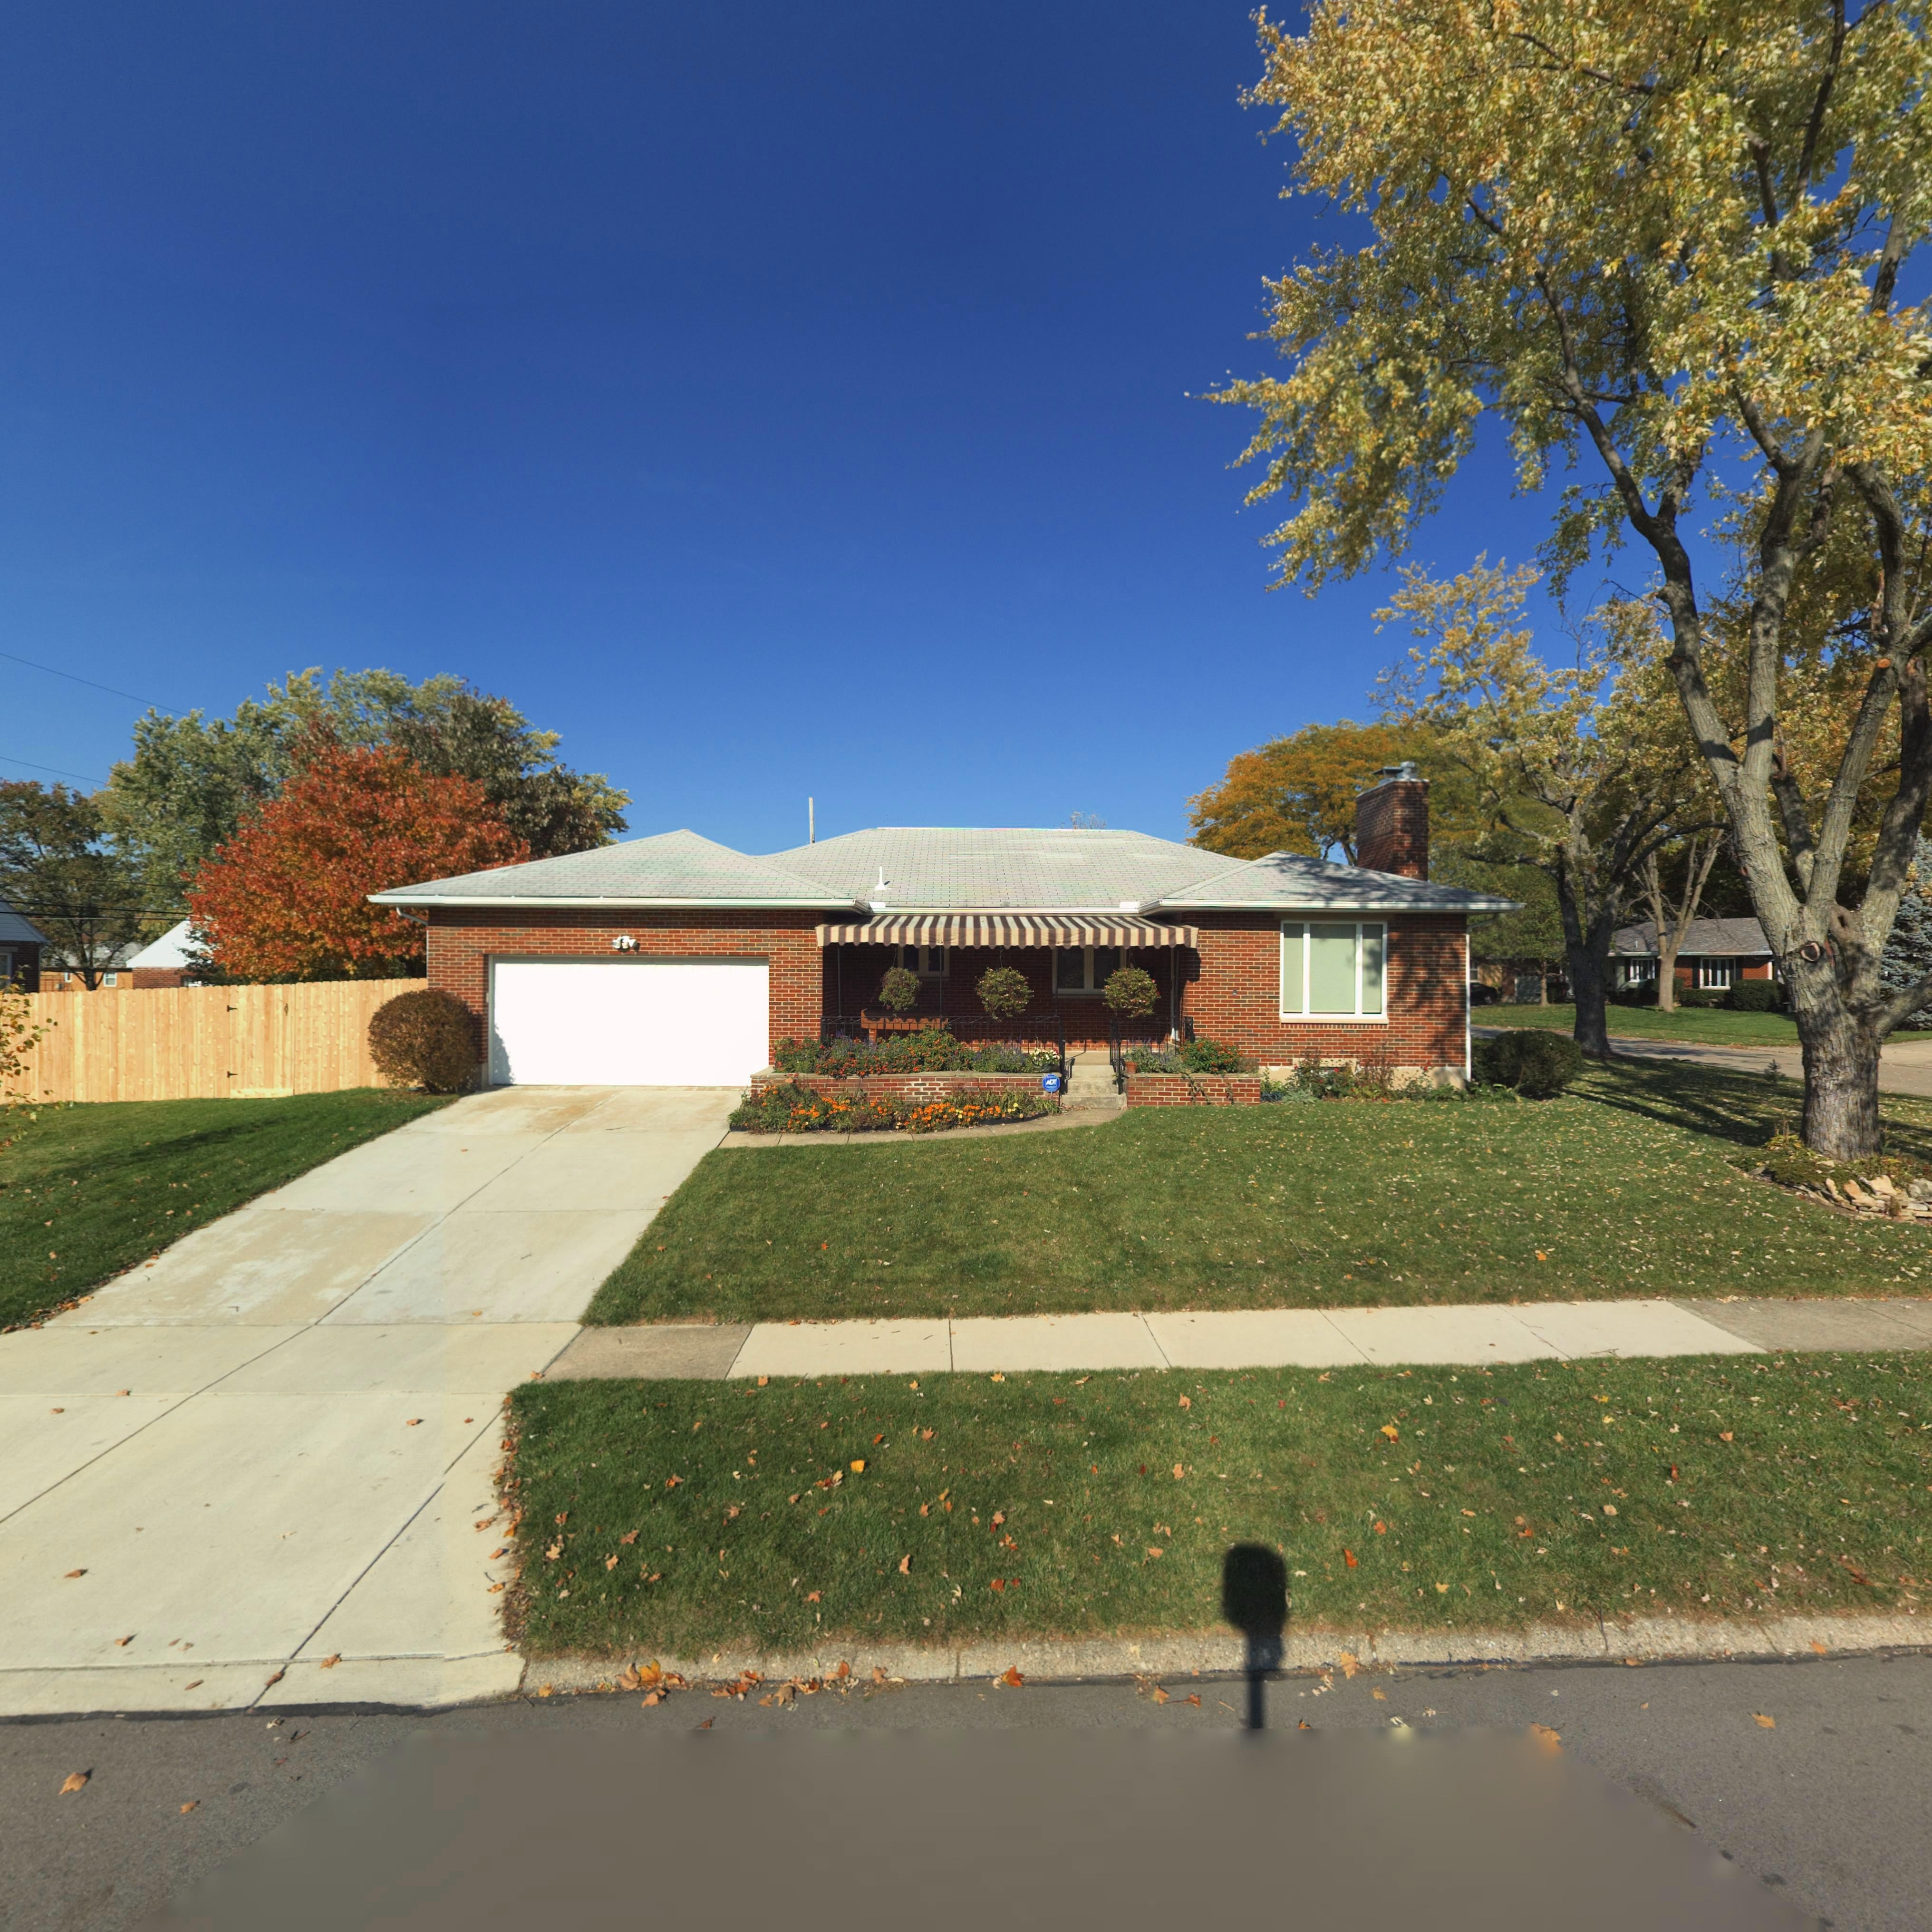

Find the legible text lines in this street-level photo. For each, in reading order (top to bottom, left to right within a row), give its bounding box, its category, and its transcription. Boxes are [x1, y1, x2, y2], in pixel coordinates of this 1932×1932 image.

[1045, 1079, 1057, 1085] None: ADT